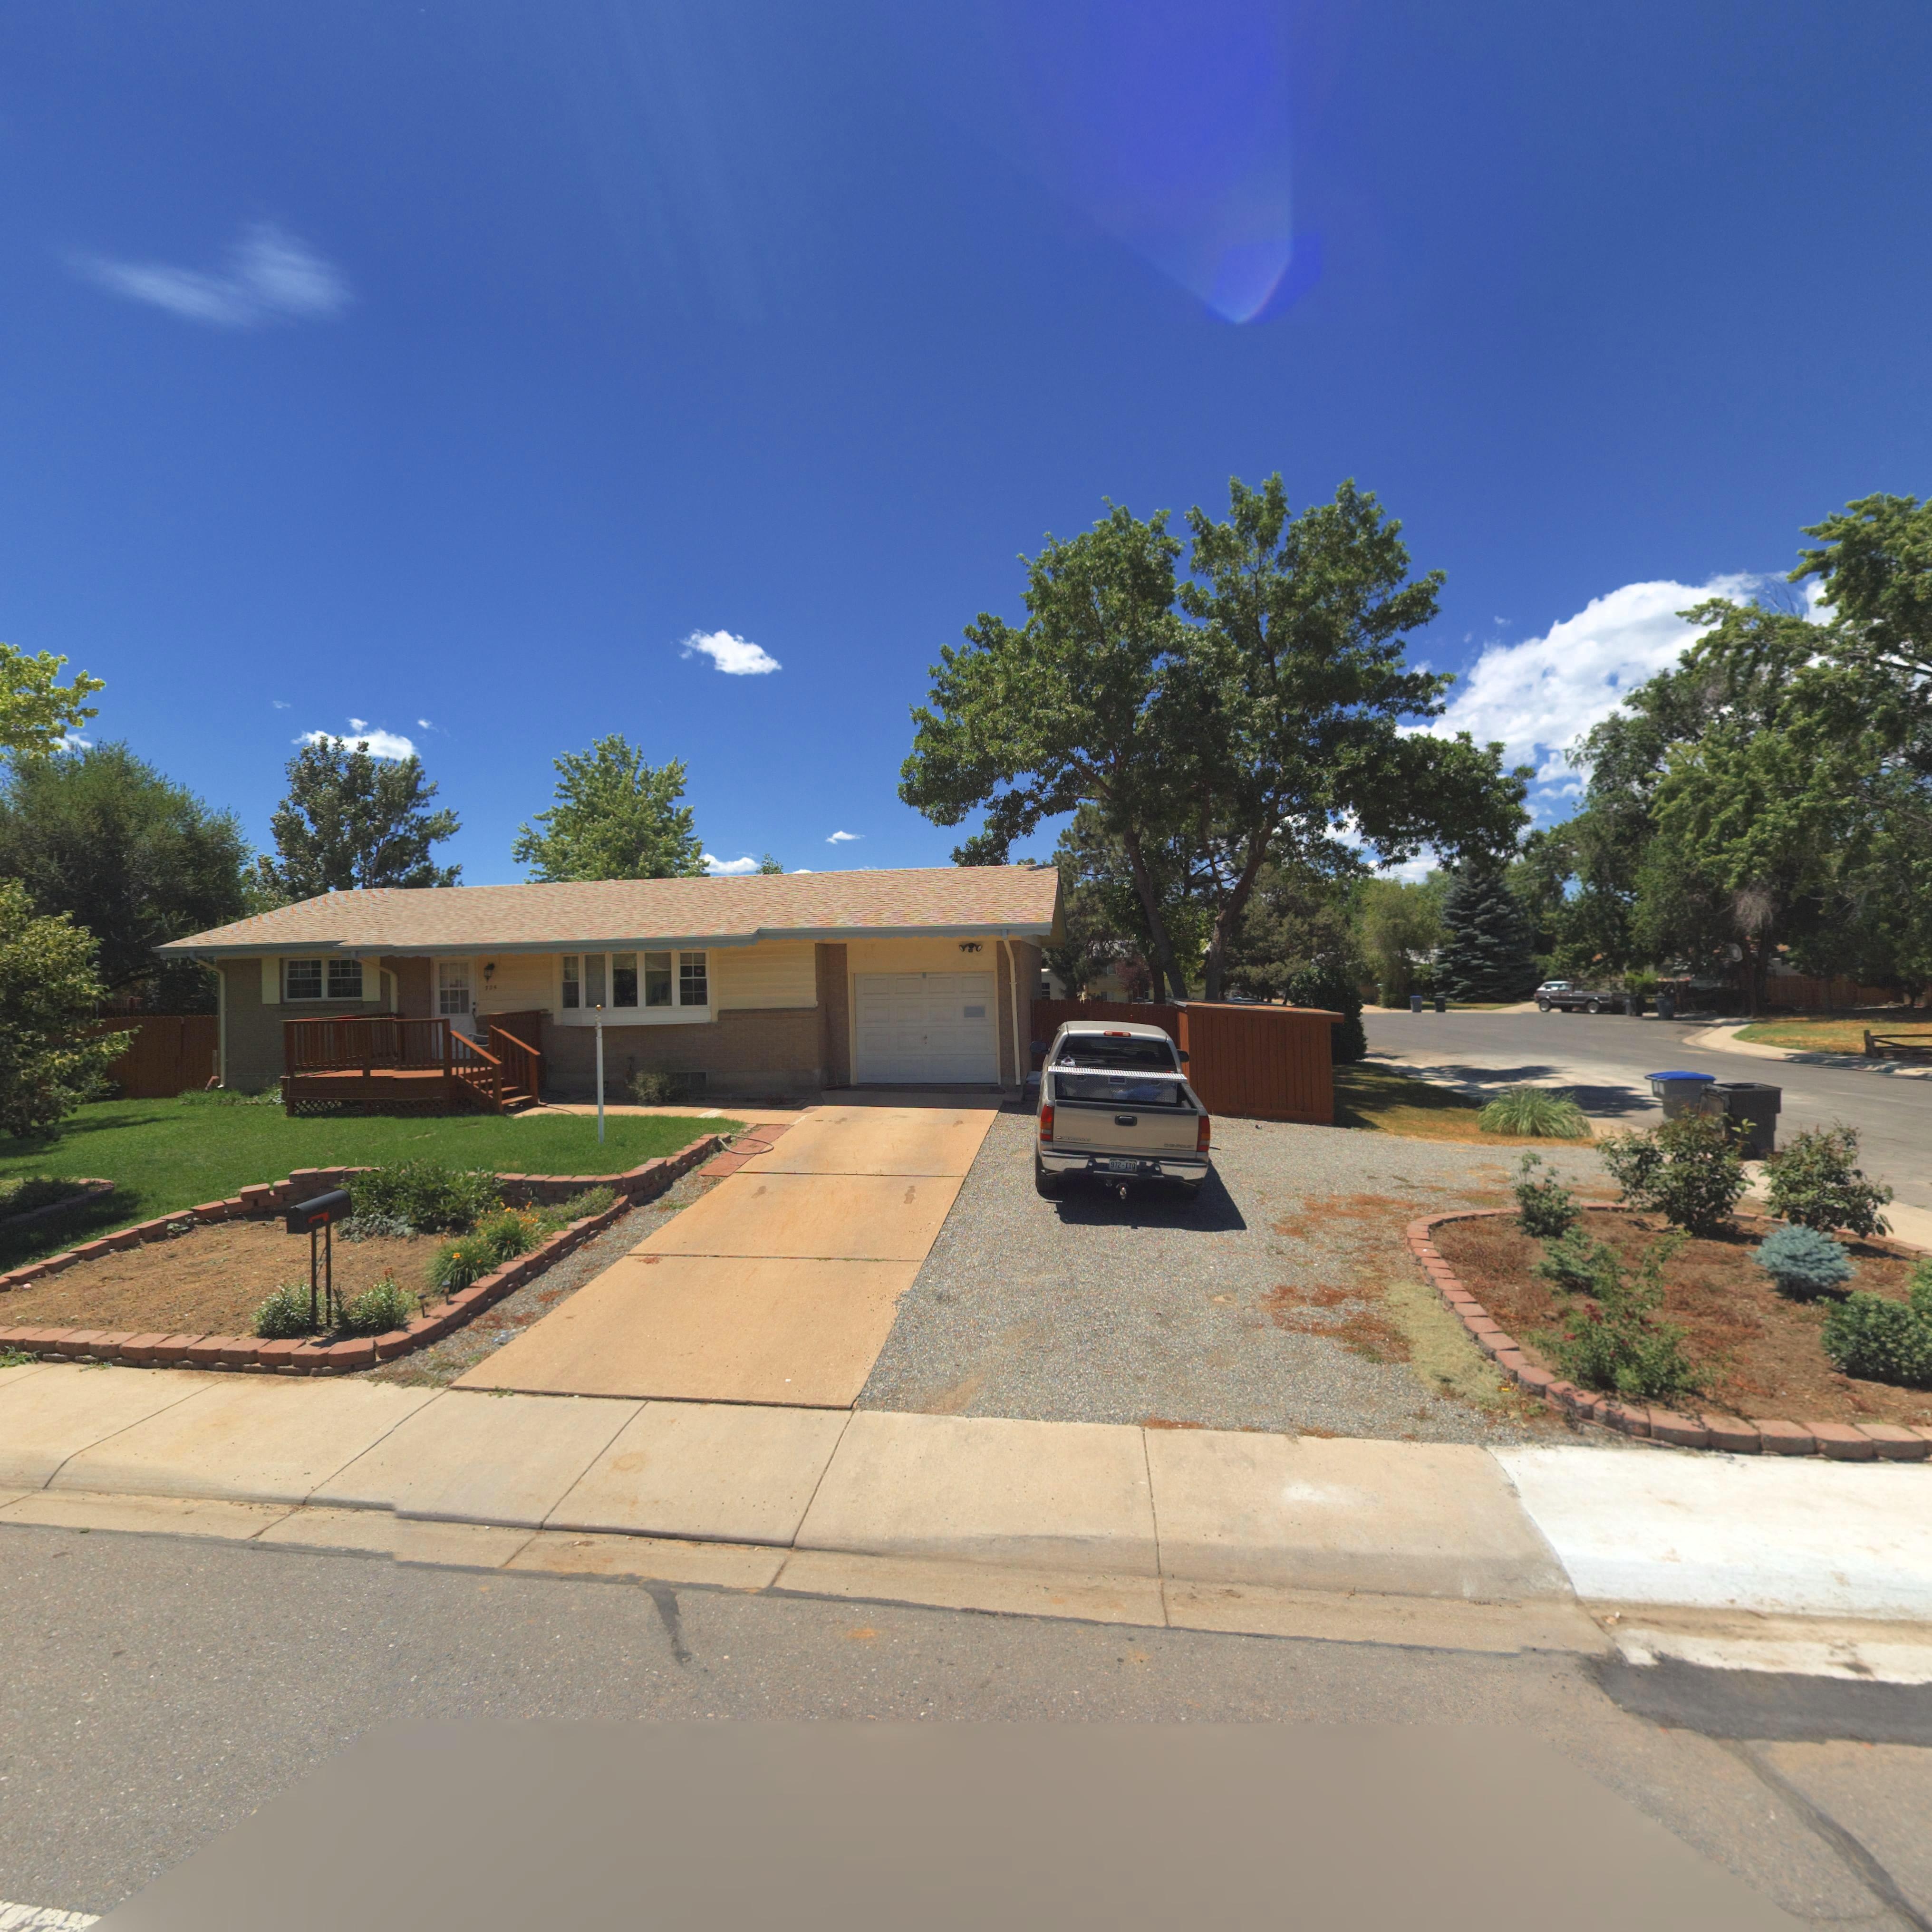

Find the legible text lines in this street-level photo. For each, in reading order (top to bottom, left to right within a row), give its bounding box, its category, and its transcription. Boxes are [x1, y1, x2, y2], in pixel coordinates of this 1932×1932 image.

[484, 985, 497, 991] StreetNumber: 125